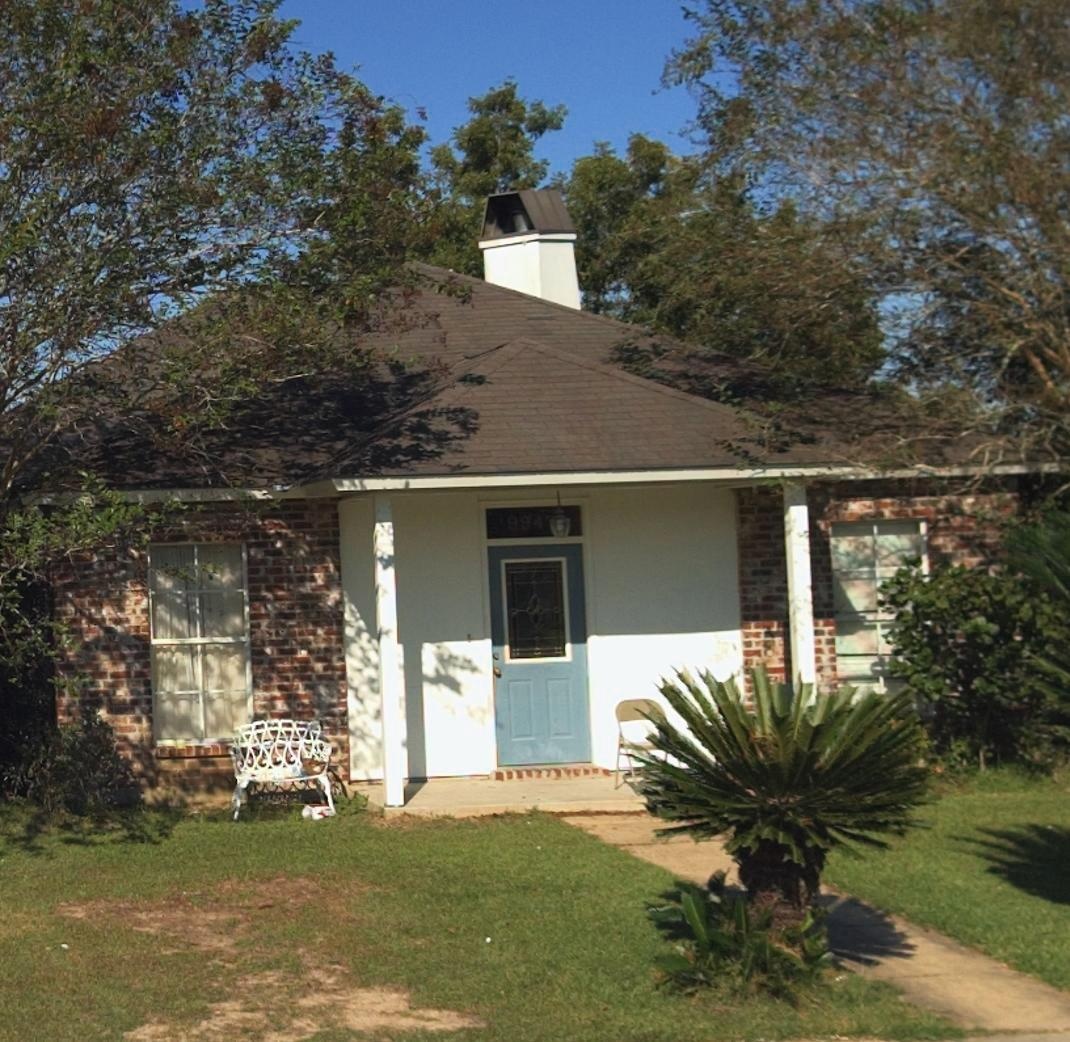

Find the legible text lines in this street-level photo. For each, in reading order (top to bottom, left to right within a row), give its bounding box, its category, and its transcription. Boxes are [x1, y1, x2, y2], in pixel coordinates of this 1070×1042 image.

[506, 515, 545, 532] StreetNumber: 9947